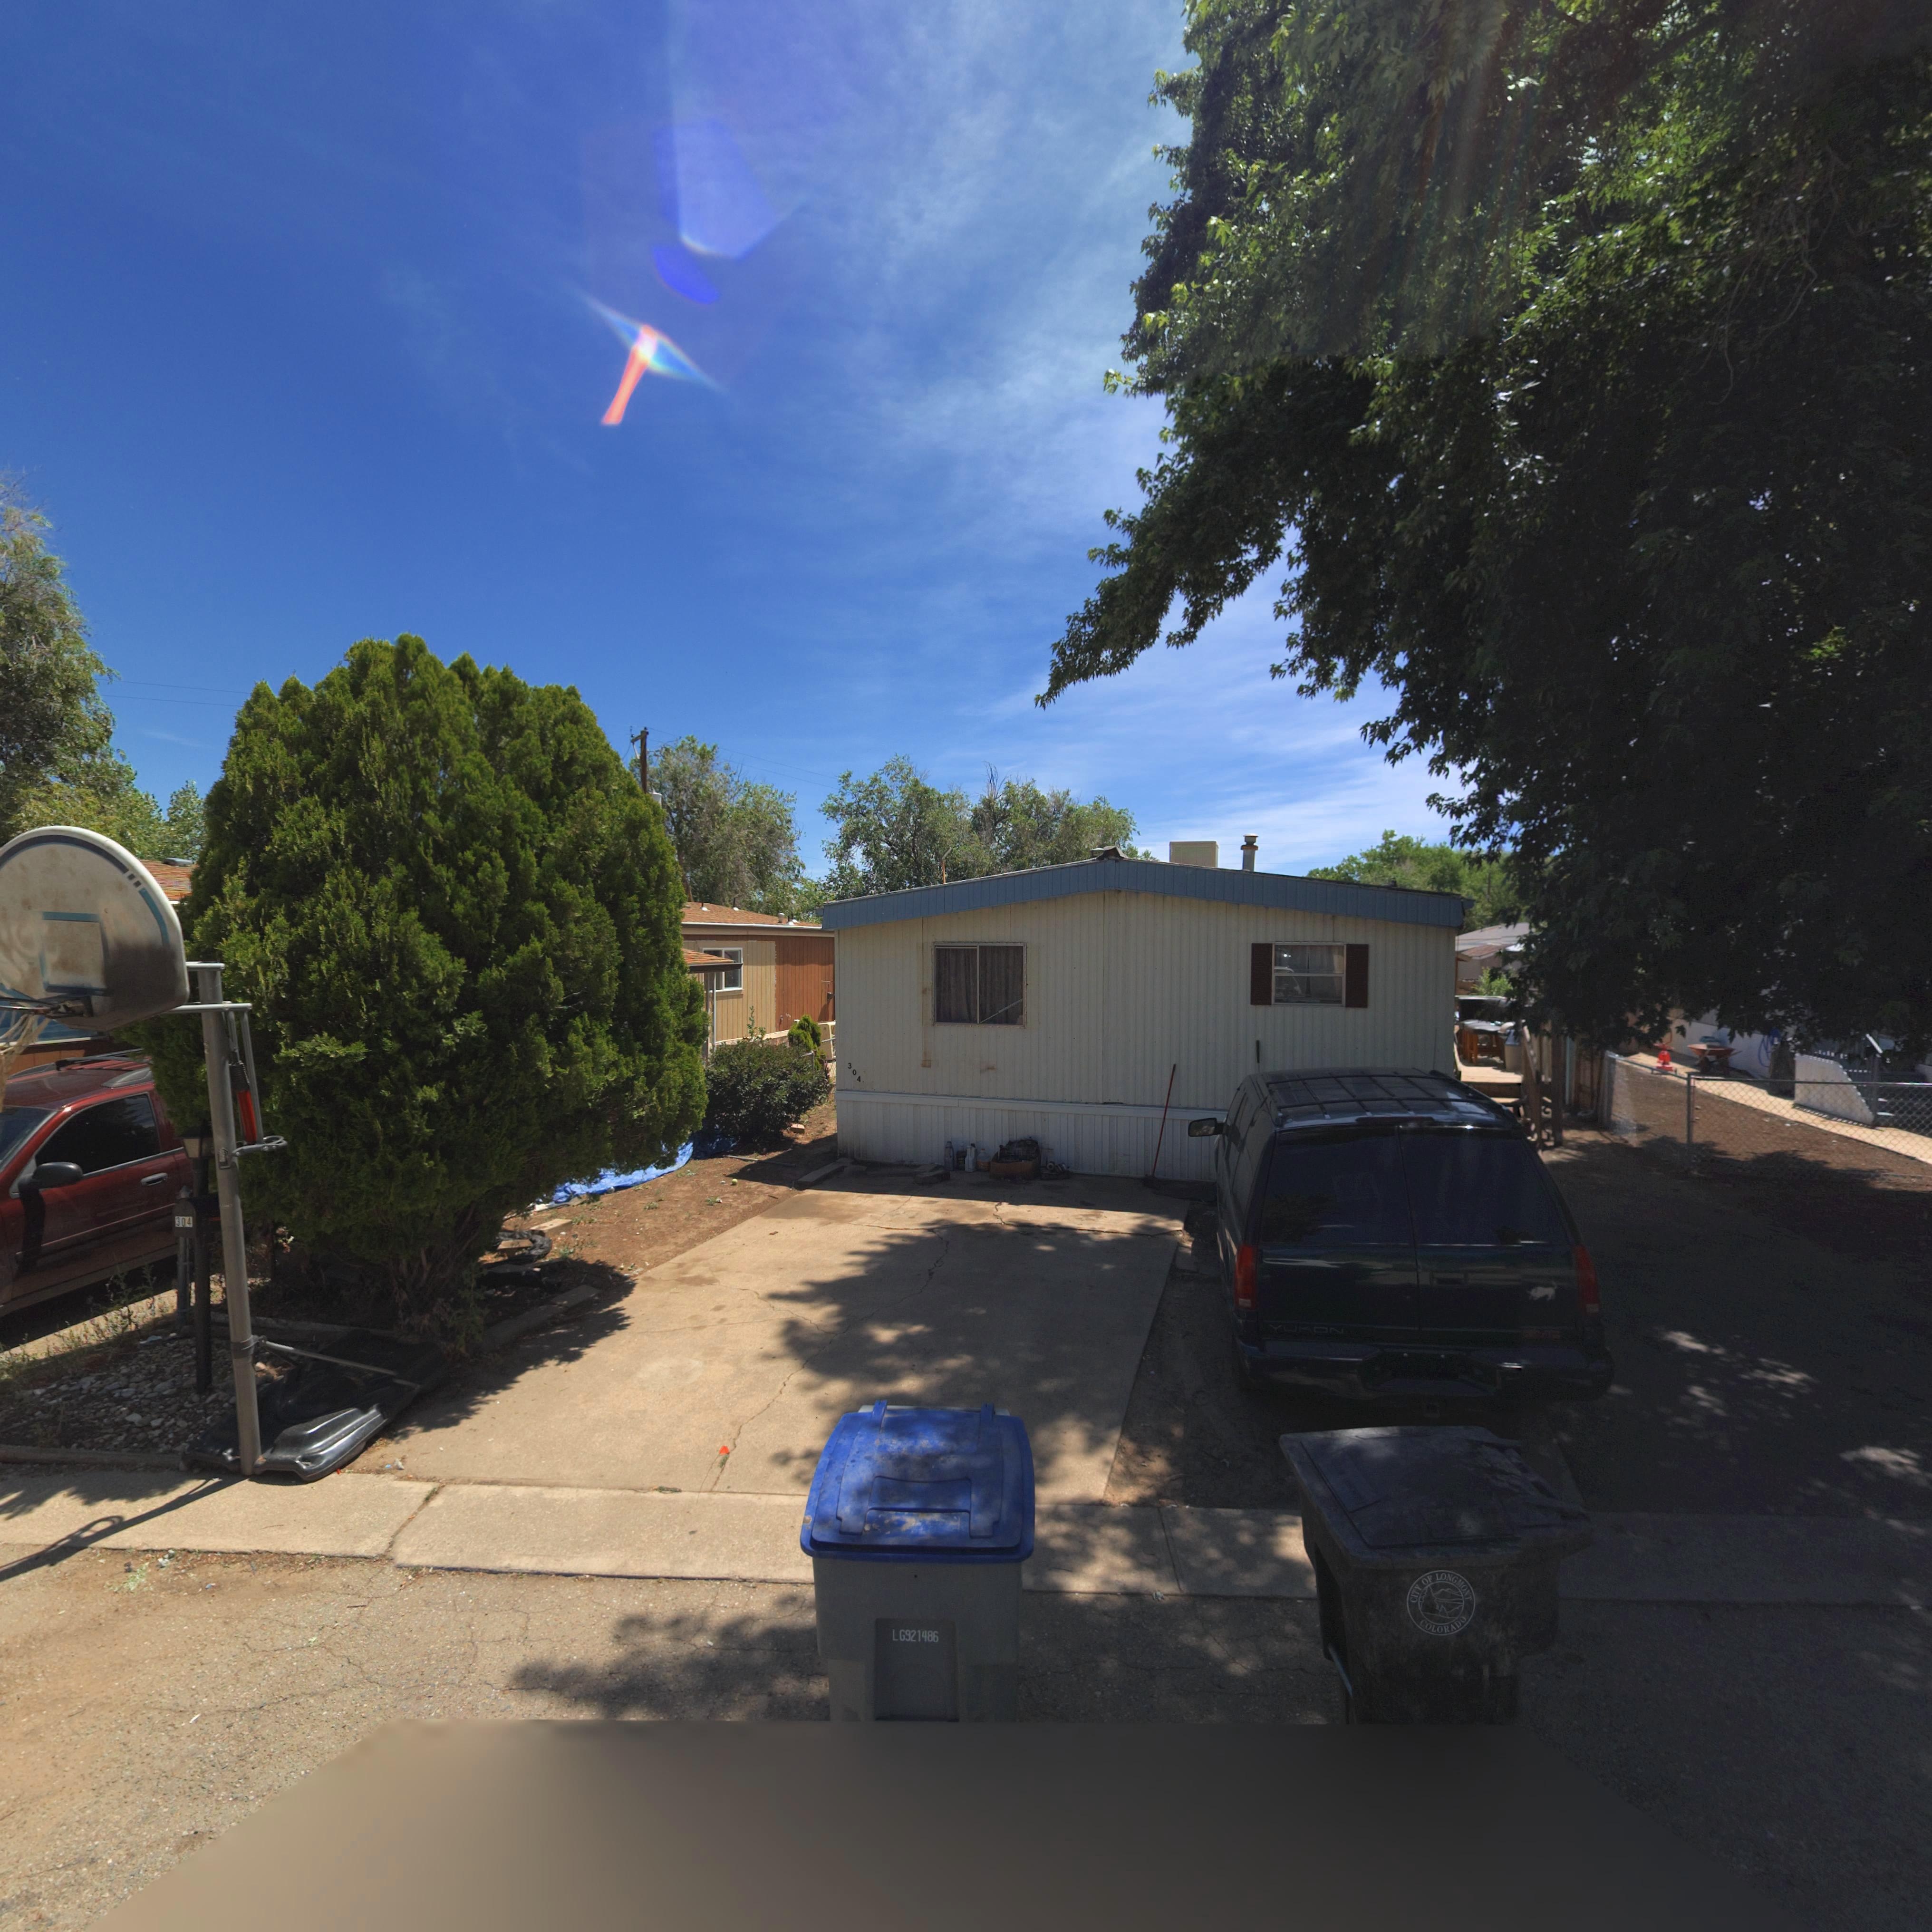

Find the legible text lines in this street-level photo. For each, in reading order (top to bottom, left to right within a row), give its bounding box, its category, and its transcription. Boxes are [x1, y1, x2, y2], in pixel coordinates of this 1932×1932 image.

[848, 1062, 860, 1082] StreetNumber: 304
[175, 1217, 191, 1227] StreetNumber: 304